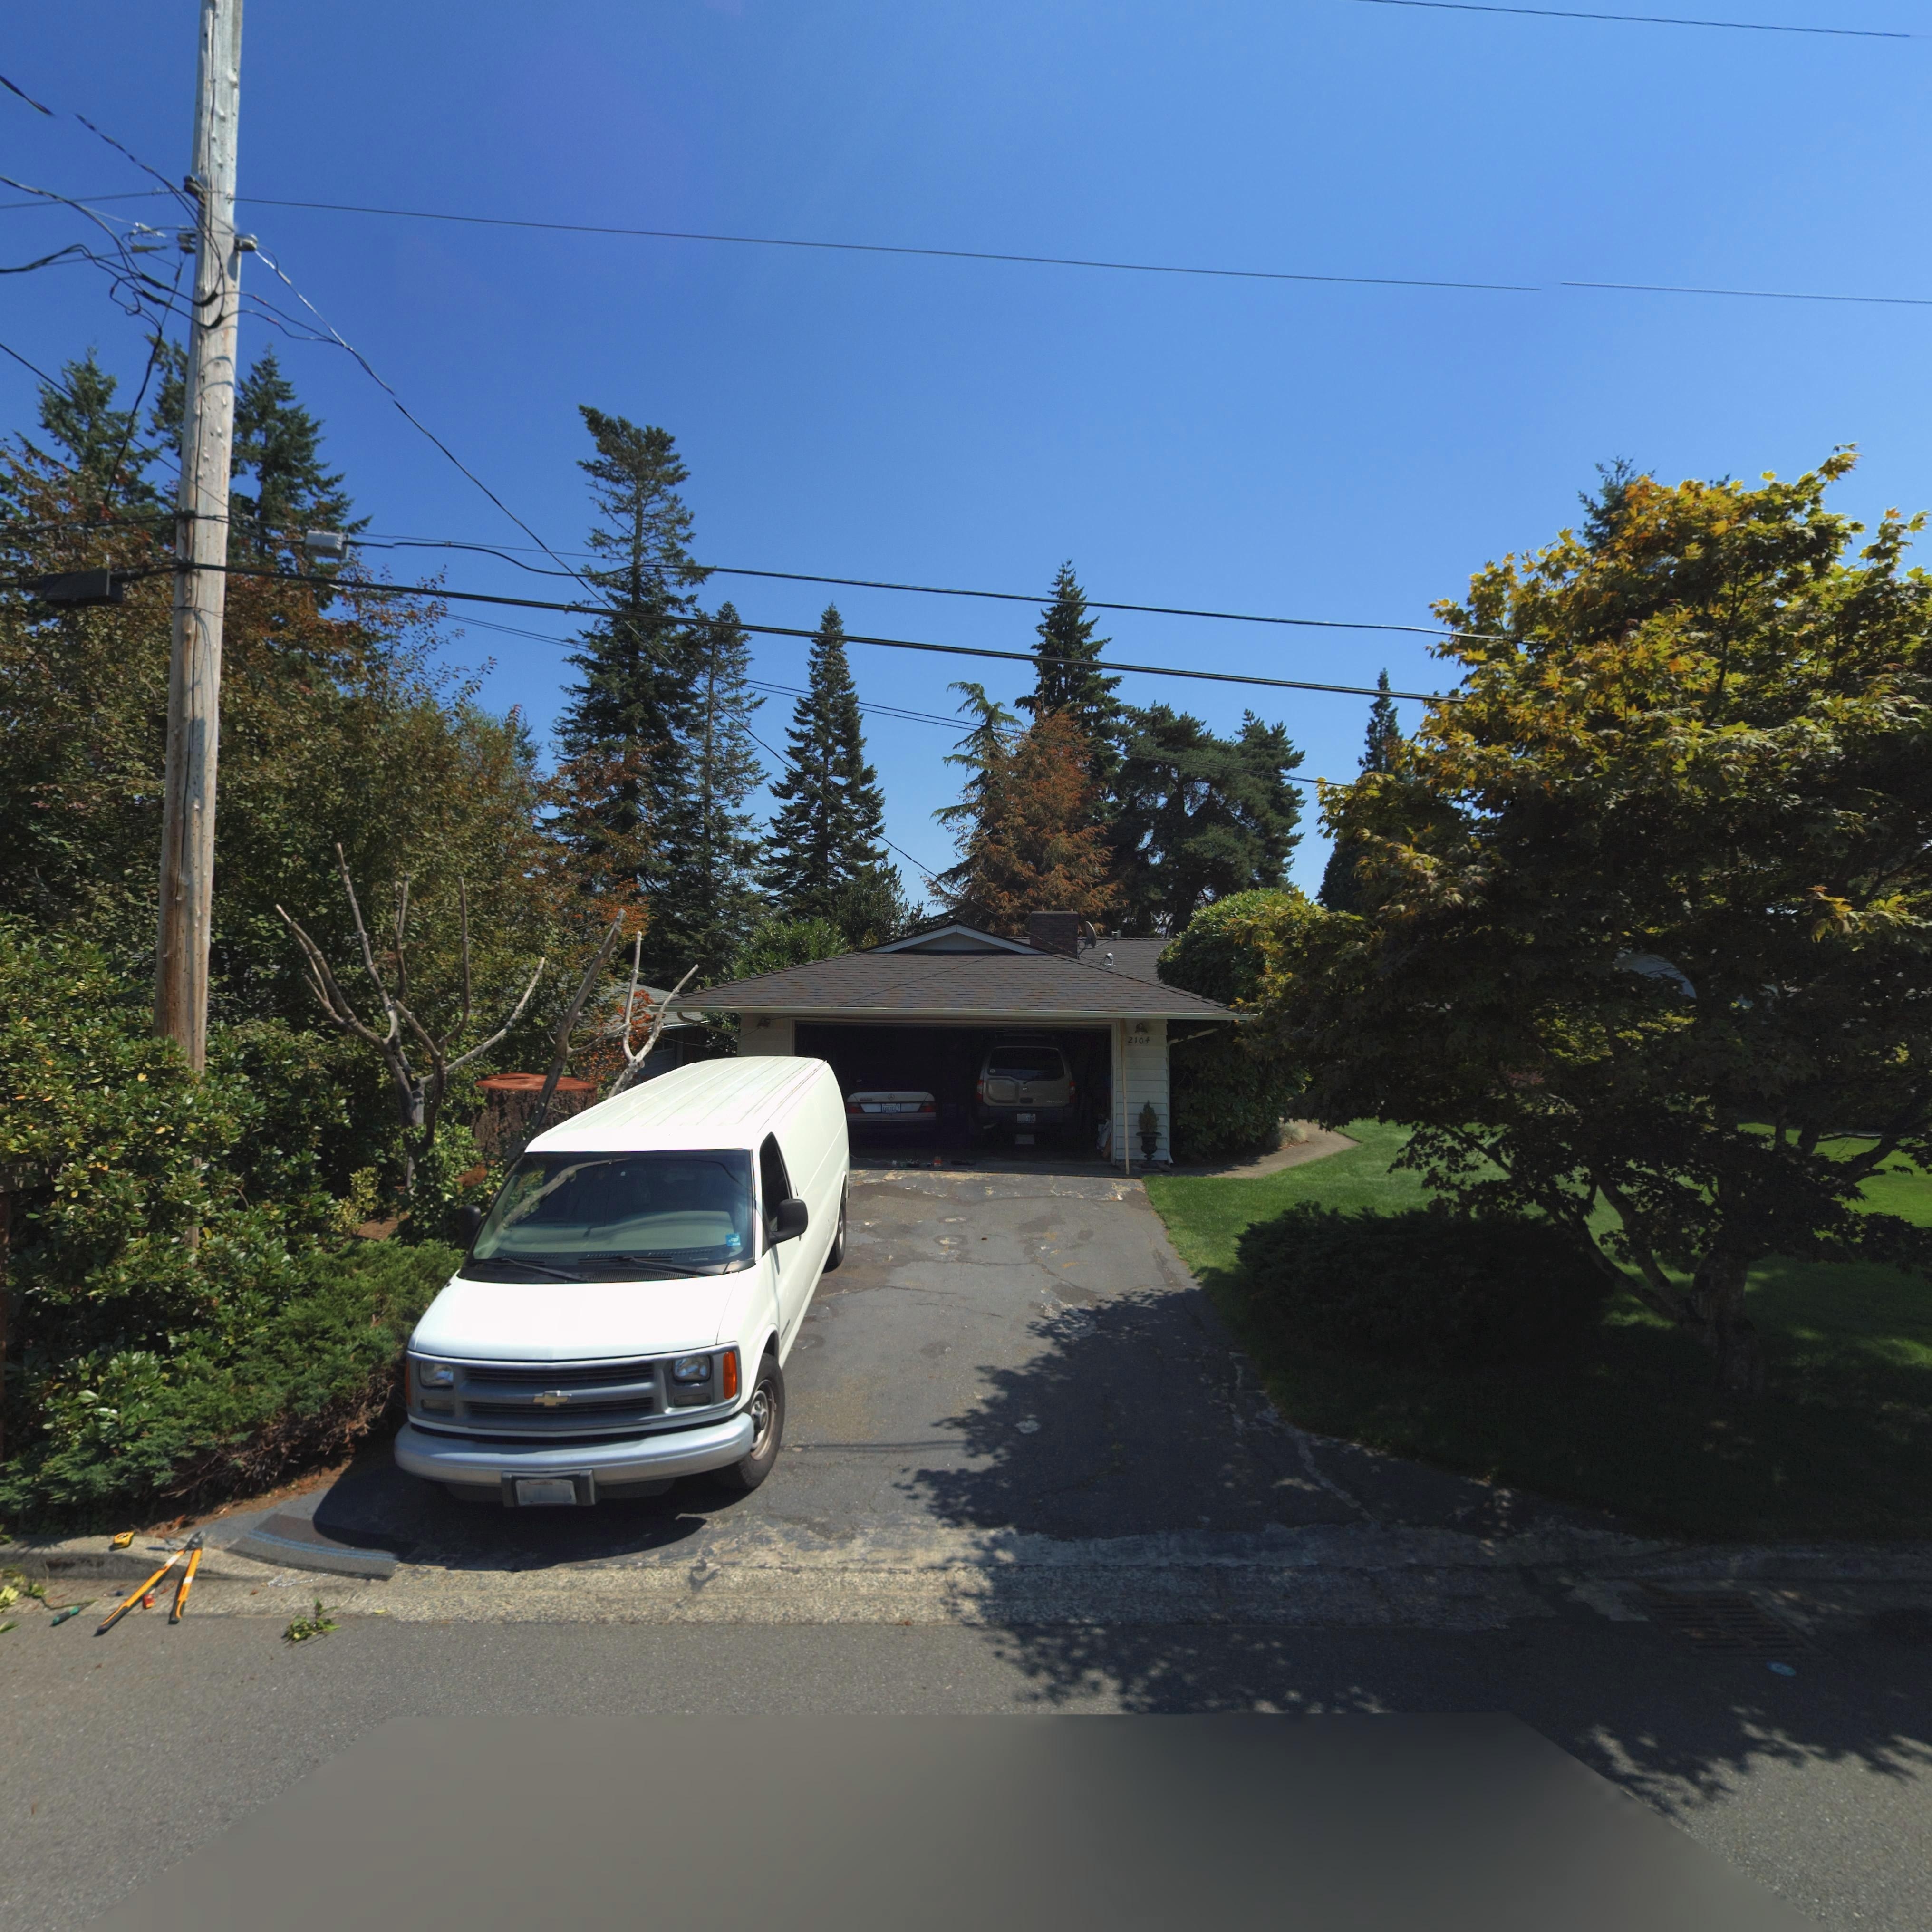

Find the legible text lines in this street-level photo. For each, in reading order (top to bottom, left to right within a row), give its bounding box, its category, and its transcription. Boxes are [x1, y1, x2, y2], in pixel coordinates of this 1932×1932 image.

[1127, 1036, 1150, 1044] StreetNumber: 2104